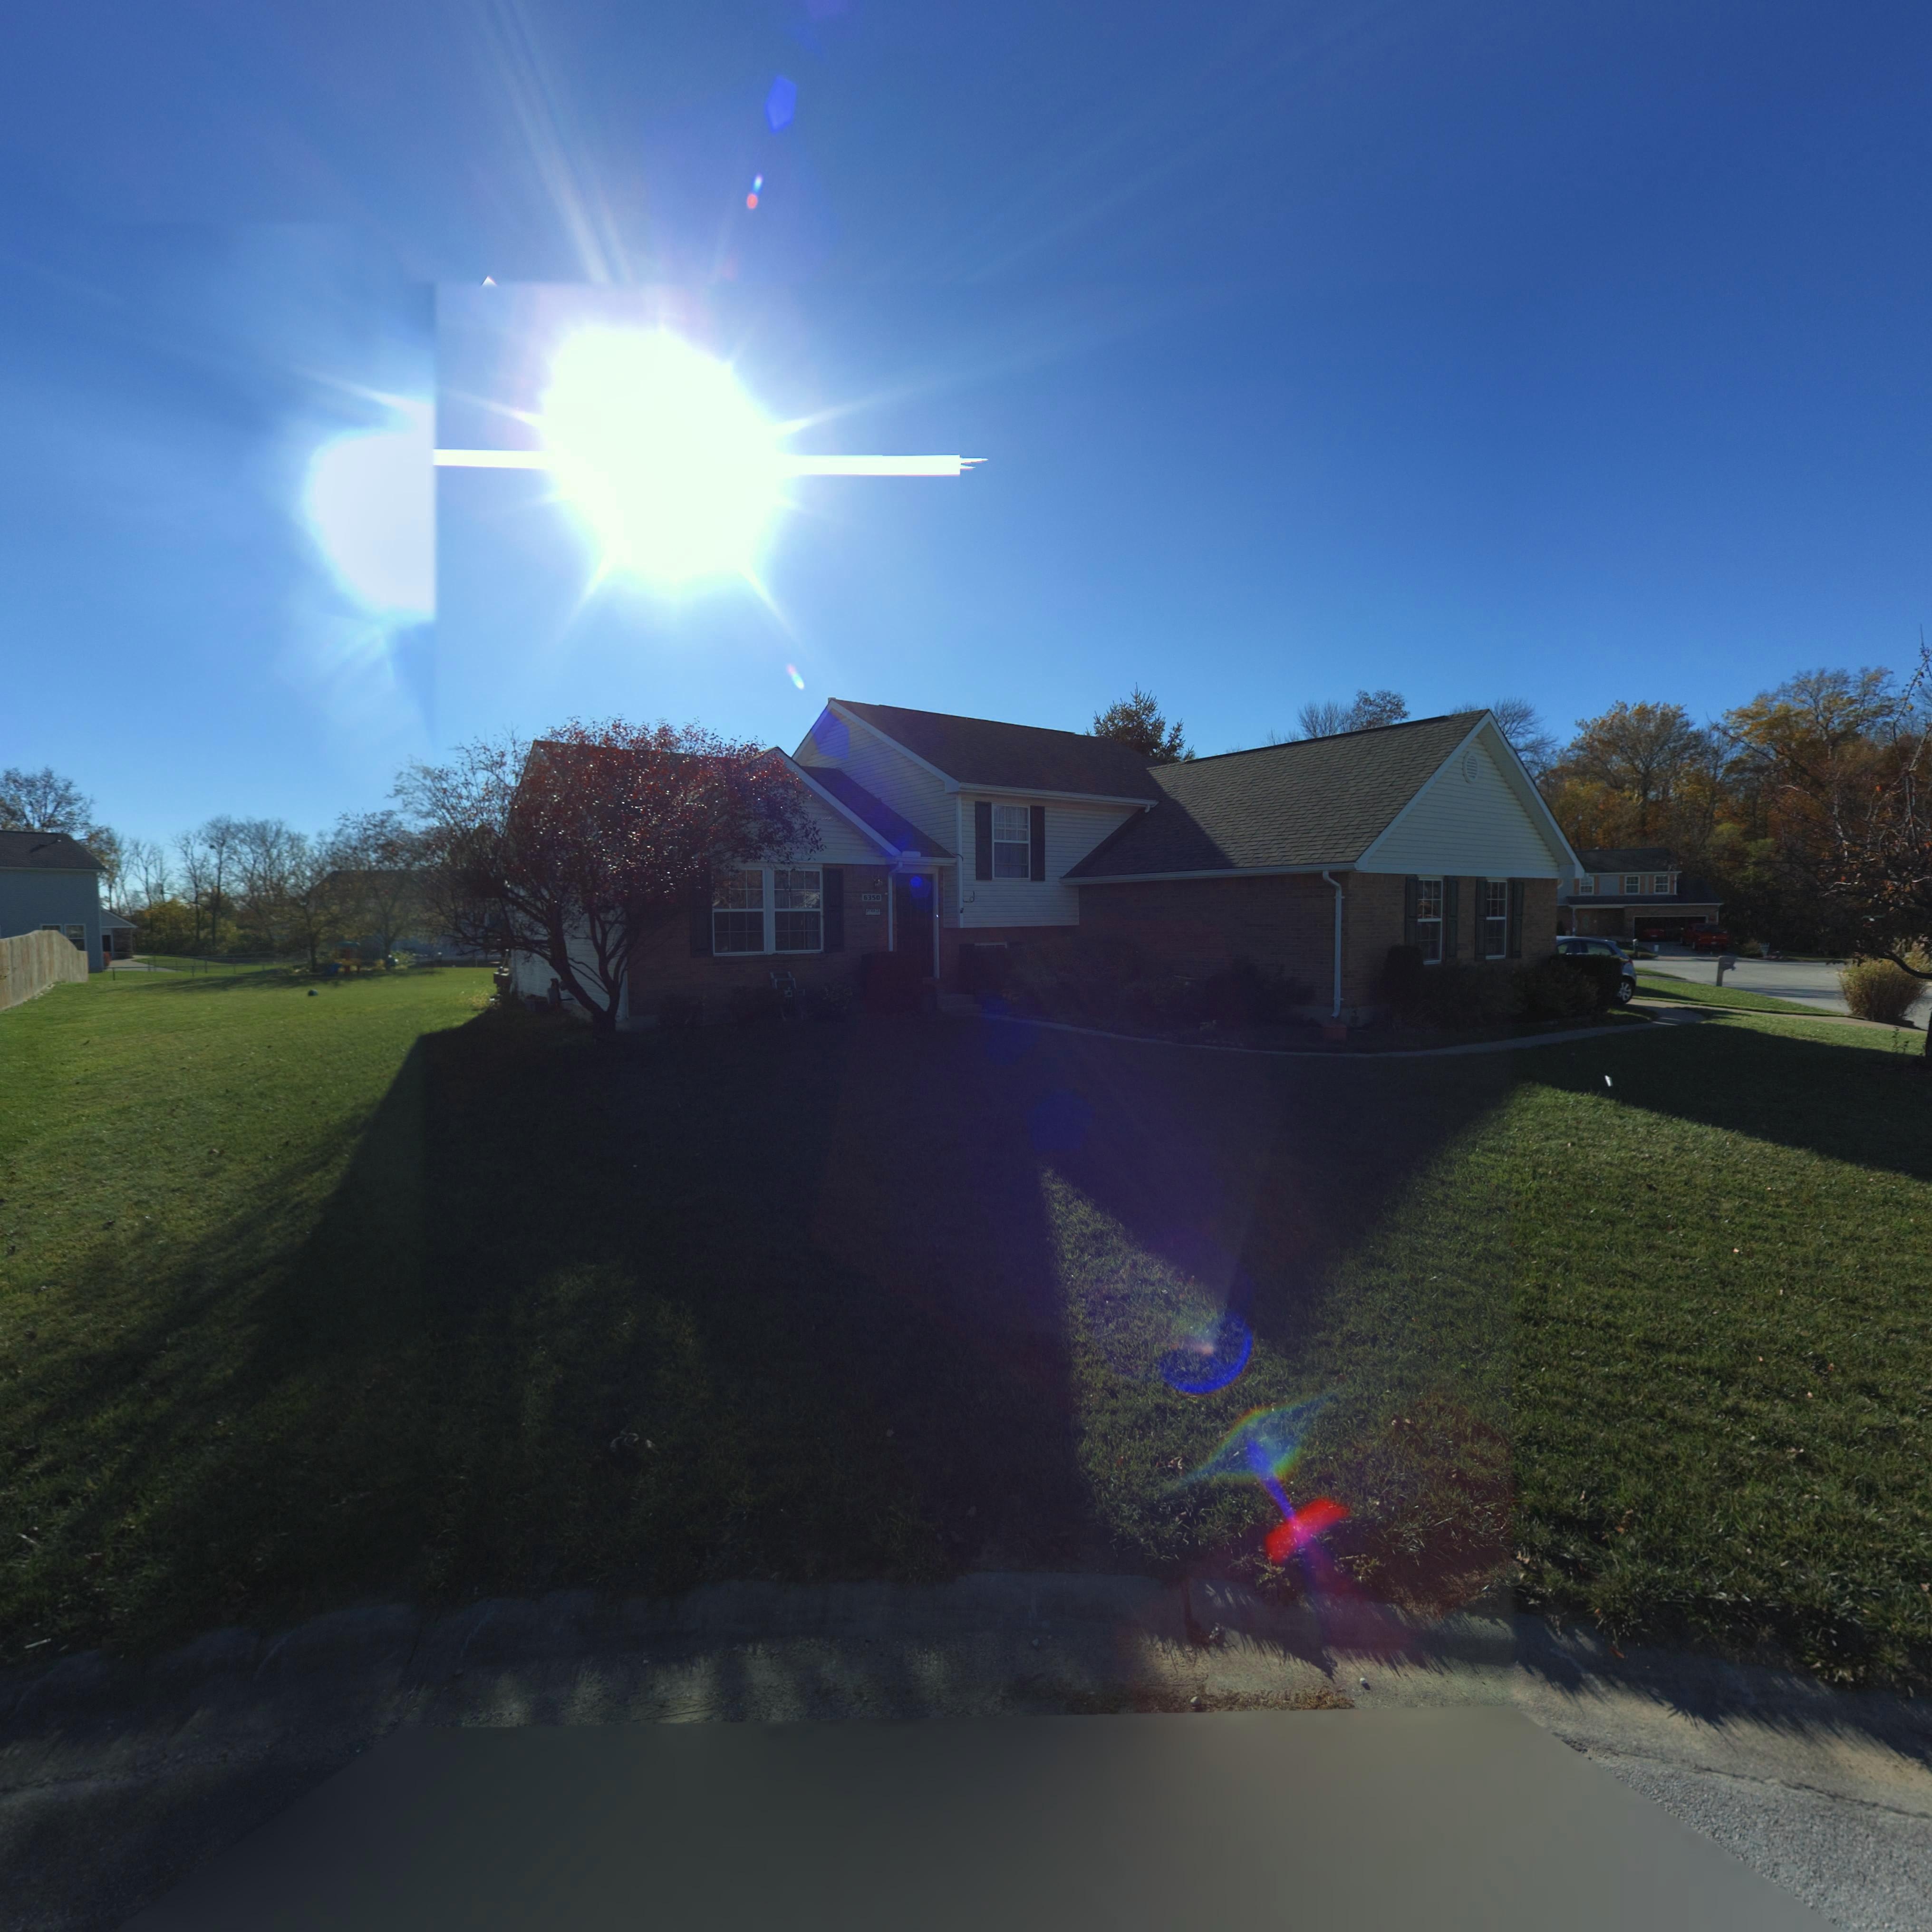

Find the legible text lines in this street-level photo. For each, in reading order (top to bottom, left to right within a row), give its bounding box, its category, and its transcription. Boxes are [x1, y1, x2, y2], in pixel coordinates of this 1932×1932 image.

[863, 894, 880, 901] StreetNumber: 6350